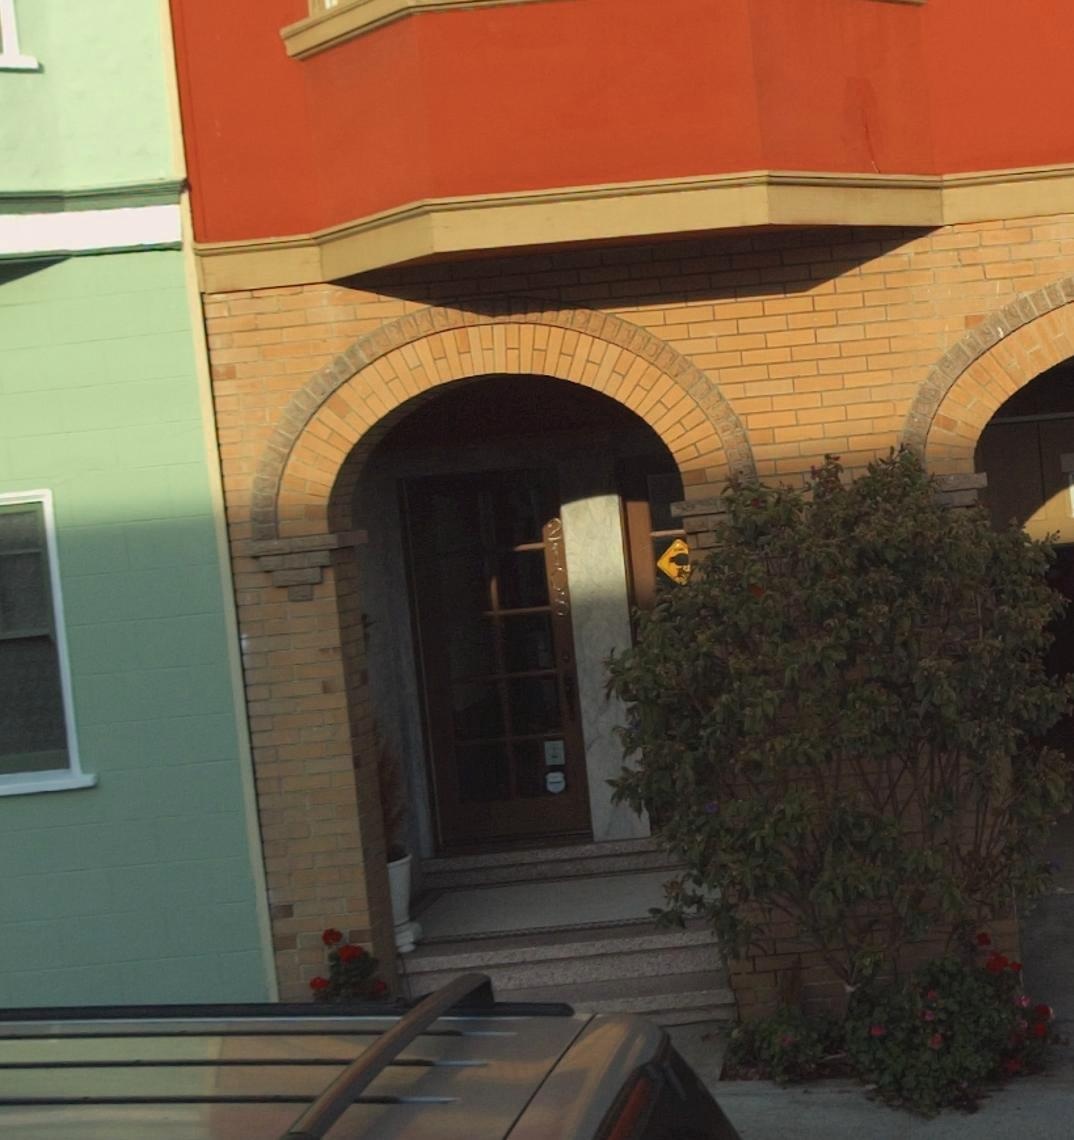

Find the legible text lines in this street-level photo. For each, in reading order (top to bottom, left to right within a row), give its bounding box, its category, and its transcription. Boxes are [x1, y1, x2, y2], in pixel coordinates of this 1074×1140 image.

[541, 513, 572, 620] StreetNumber: 2108